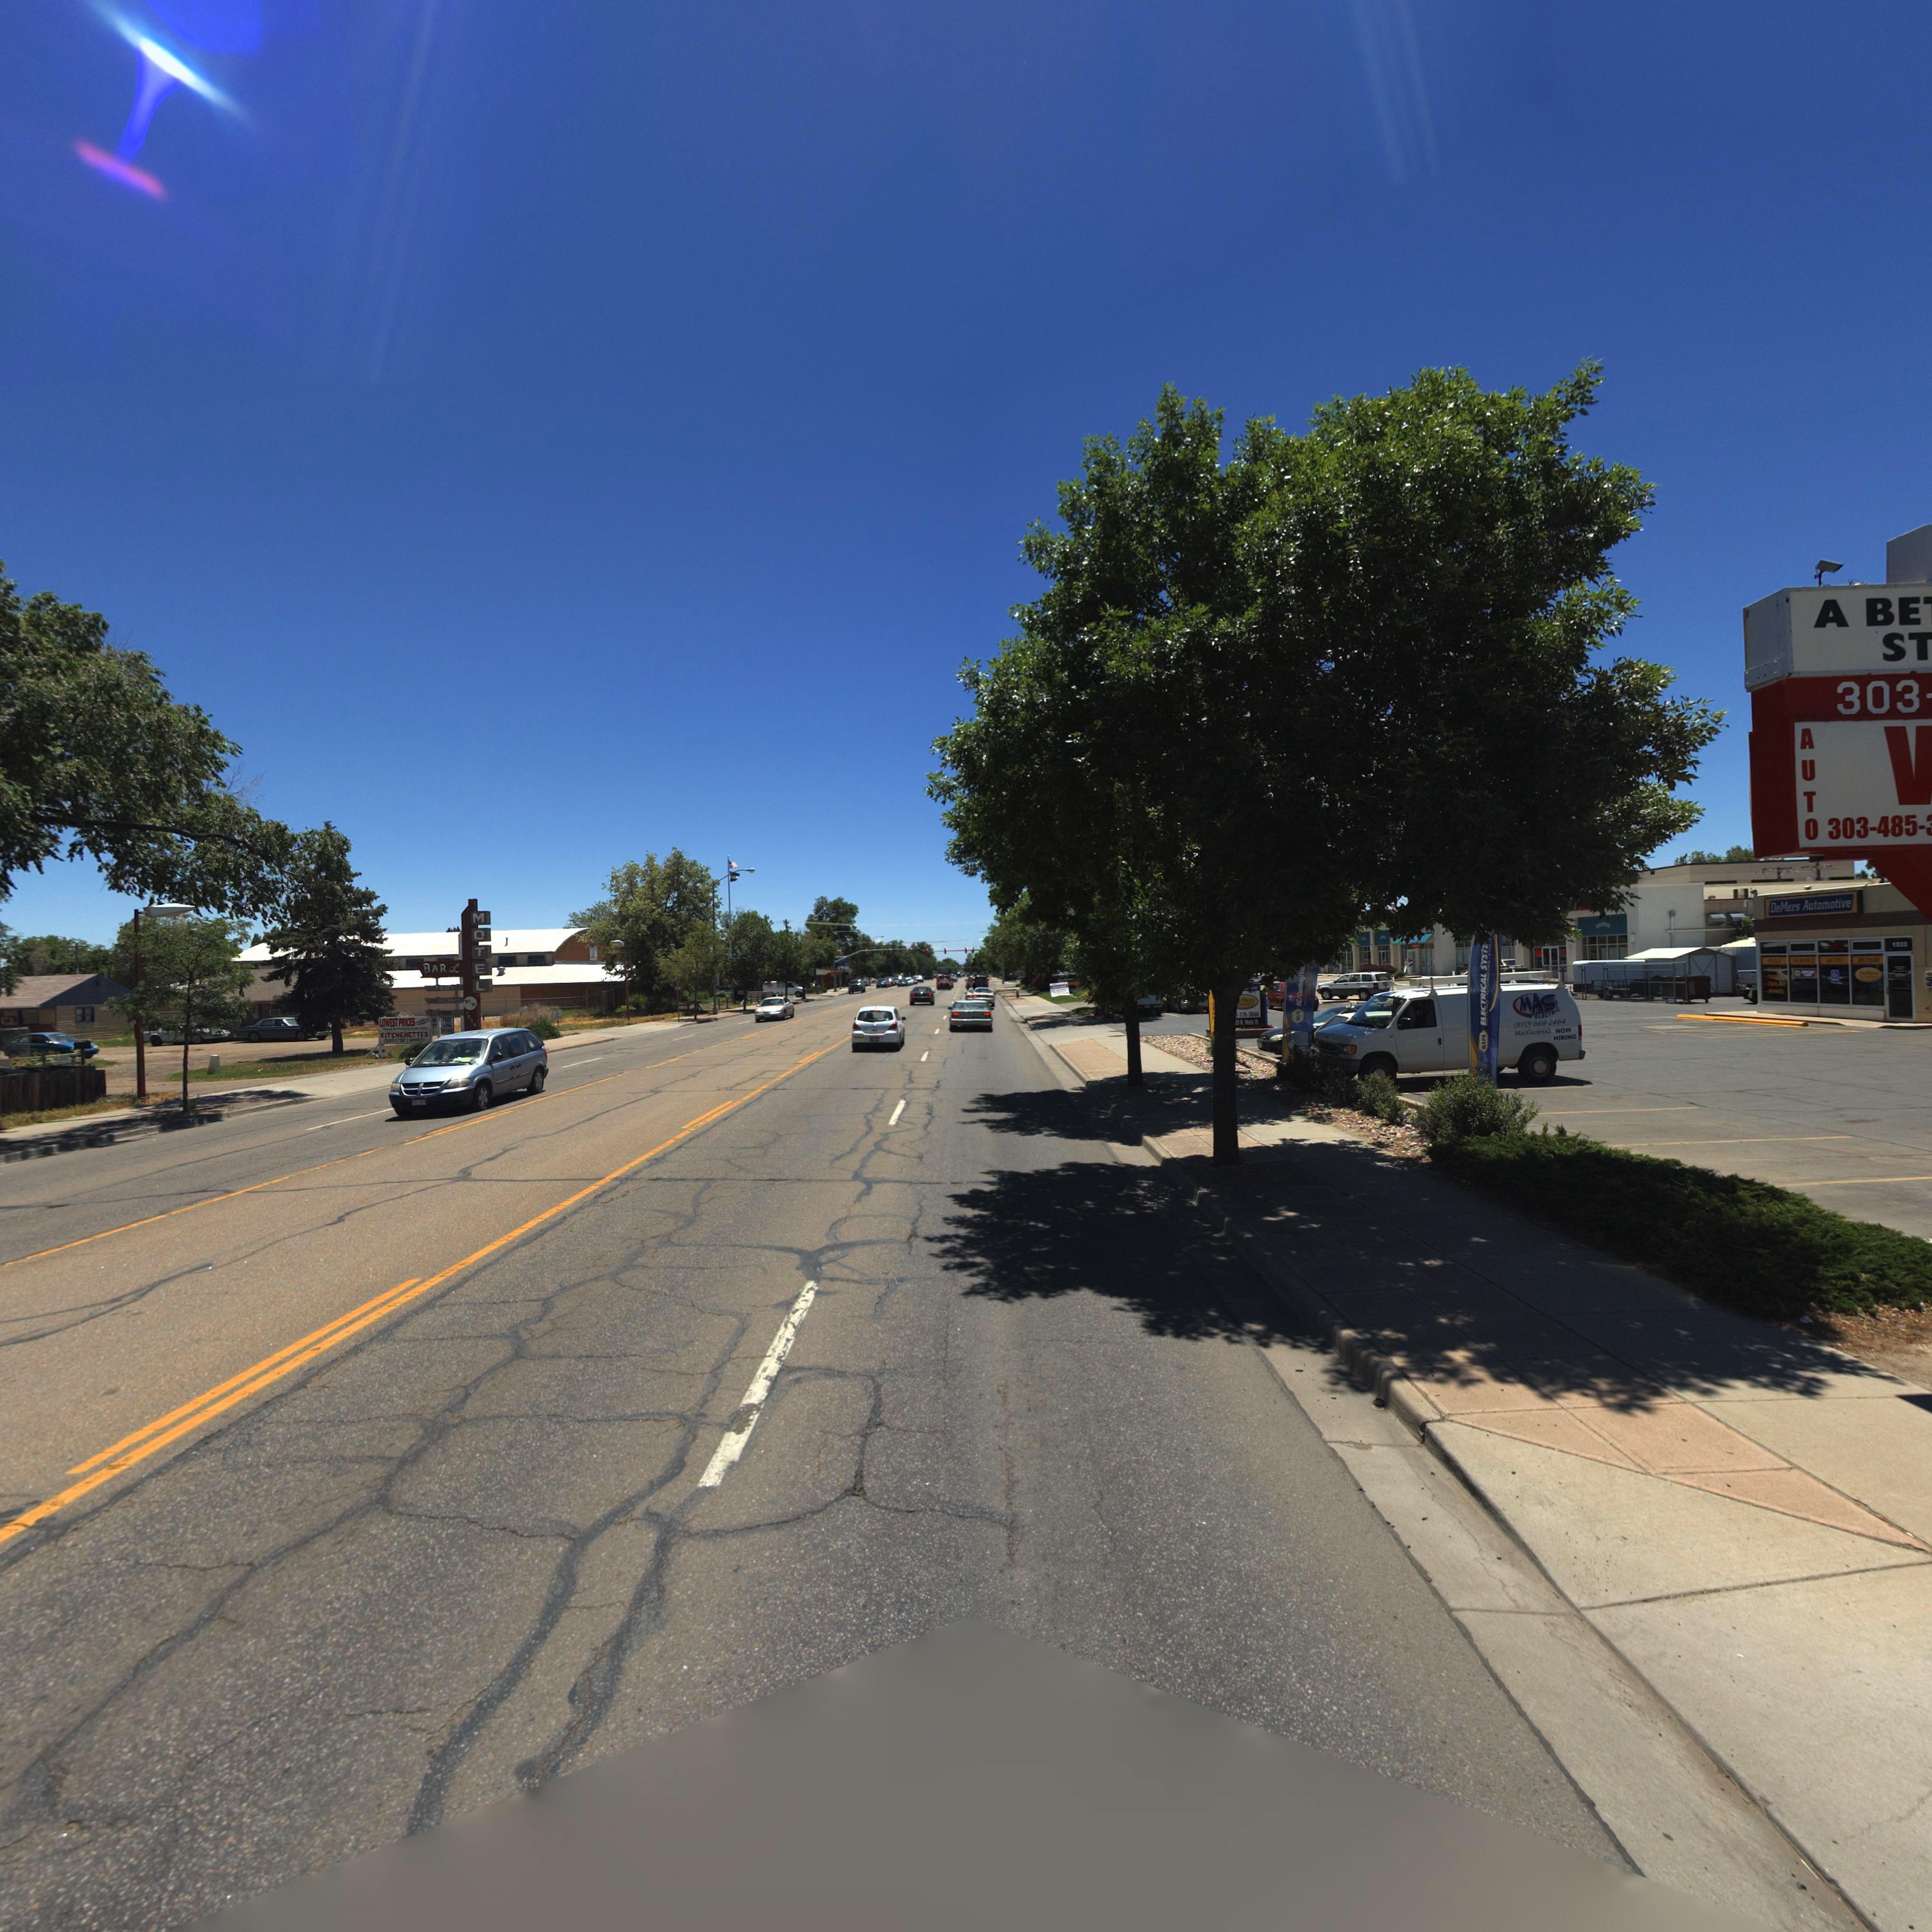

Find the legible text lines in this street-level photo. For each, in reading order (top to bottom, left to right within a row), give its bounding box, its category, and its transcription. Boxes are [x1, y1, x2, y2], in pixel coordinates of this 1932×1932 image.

[1812, 595, 1922, 628] BusinessName: A BE
[1879, 631, 1931, 665] BusinessName: ST
[1798, 726, 1819, 841] BusinessName: AUTO
[1769, 897, 1852, 913] BusinessName: DeMers Automotive
[1892, 941, 1908, 947] StreetNumber: 1533
[1238, 997, 1255, 1004] BusinessName: eMars